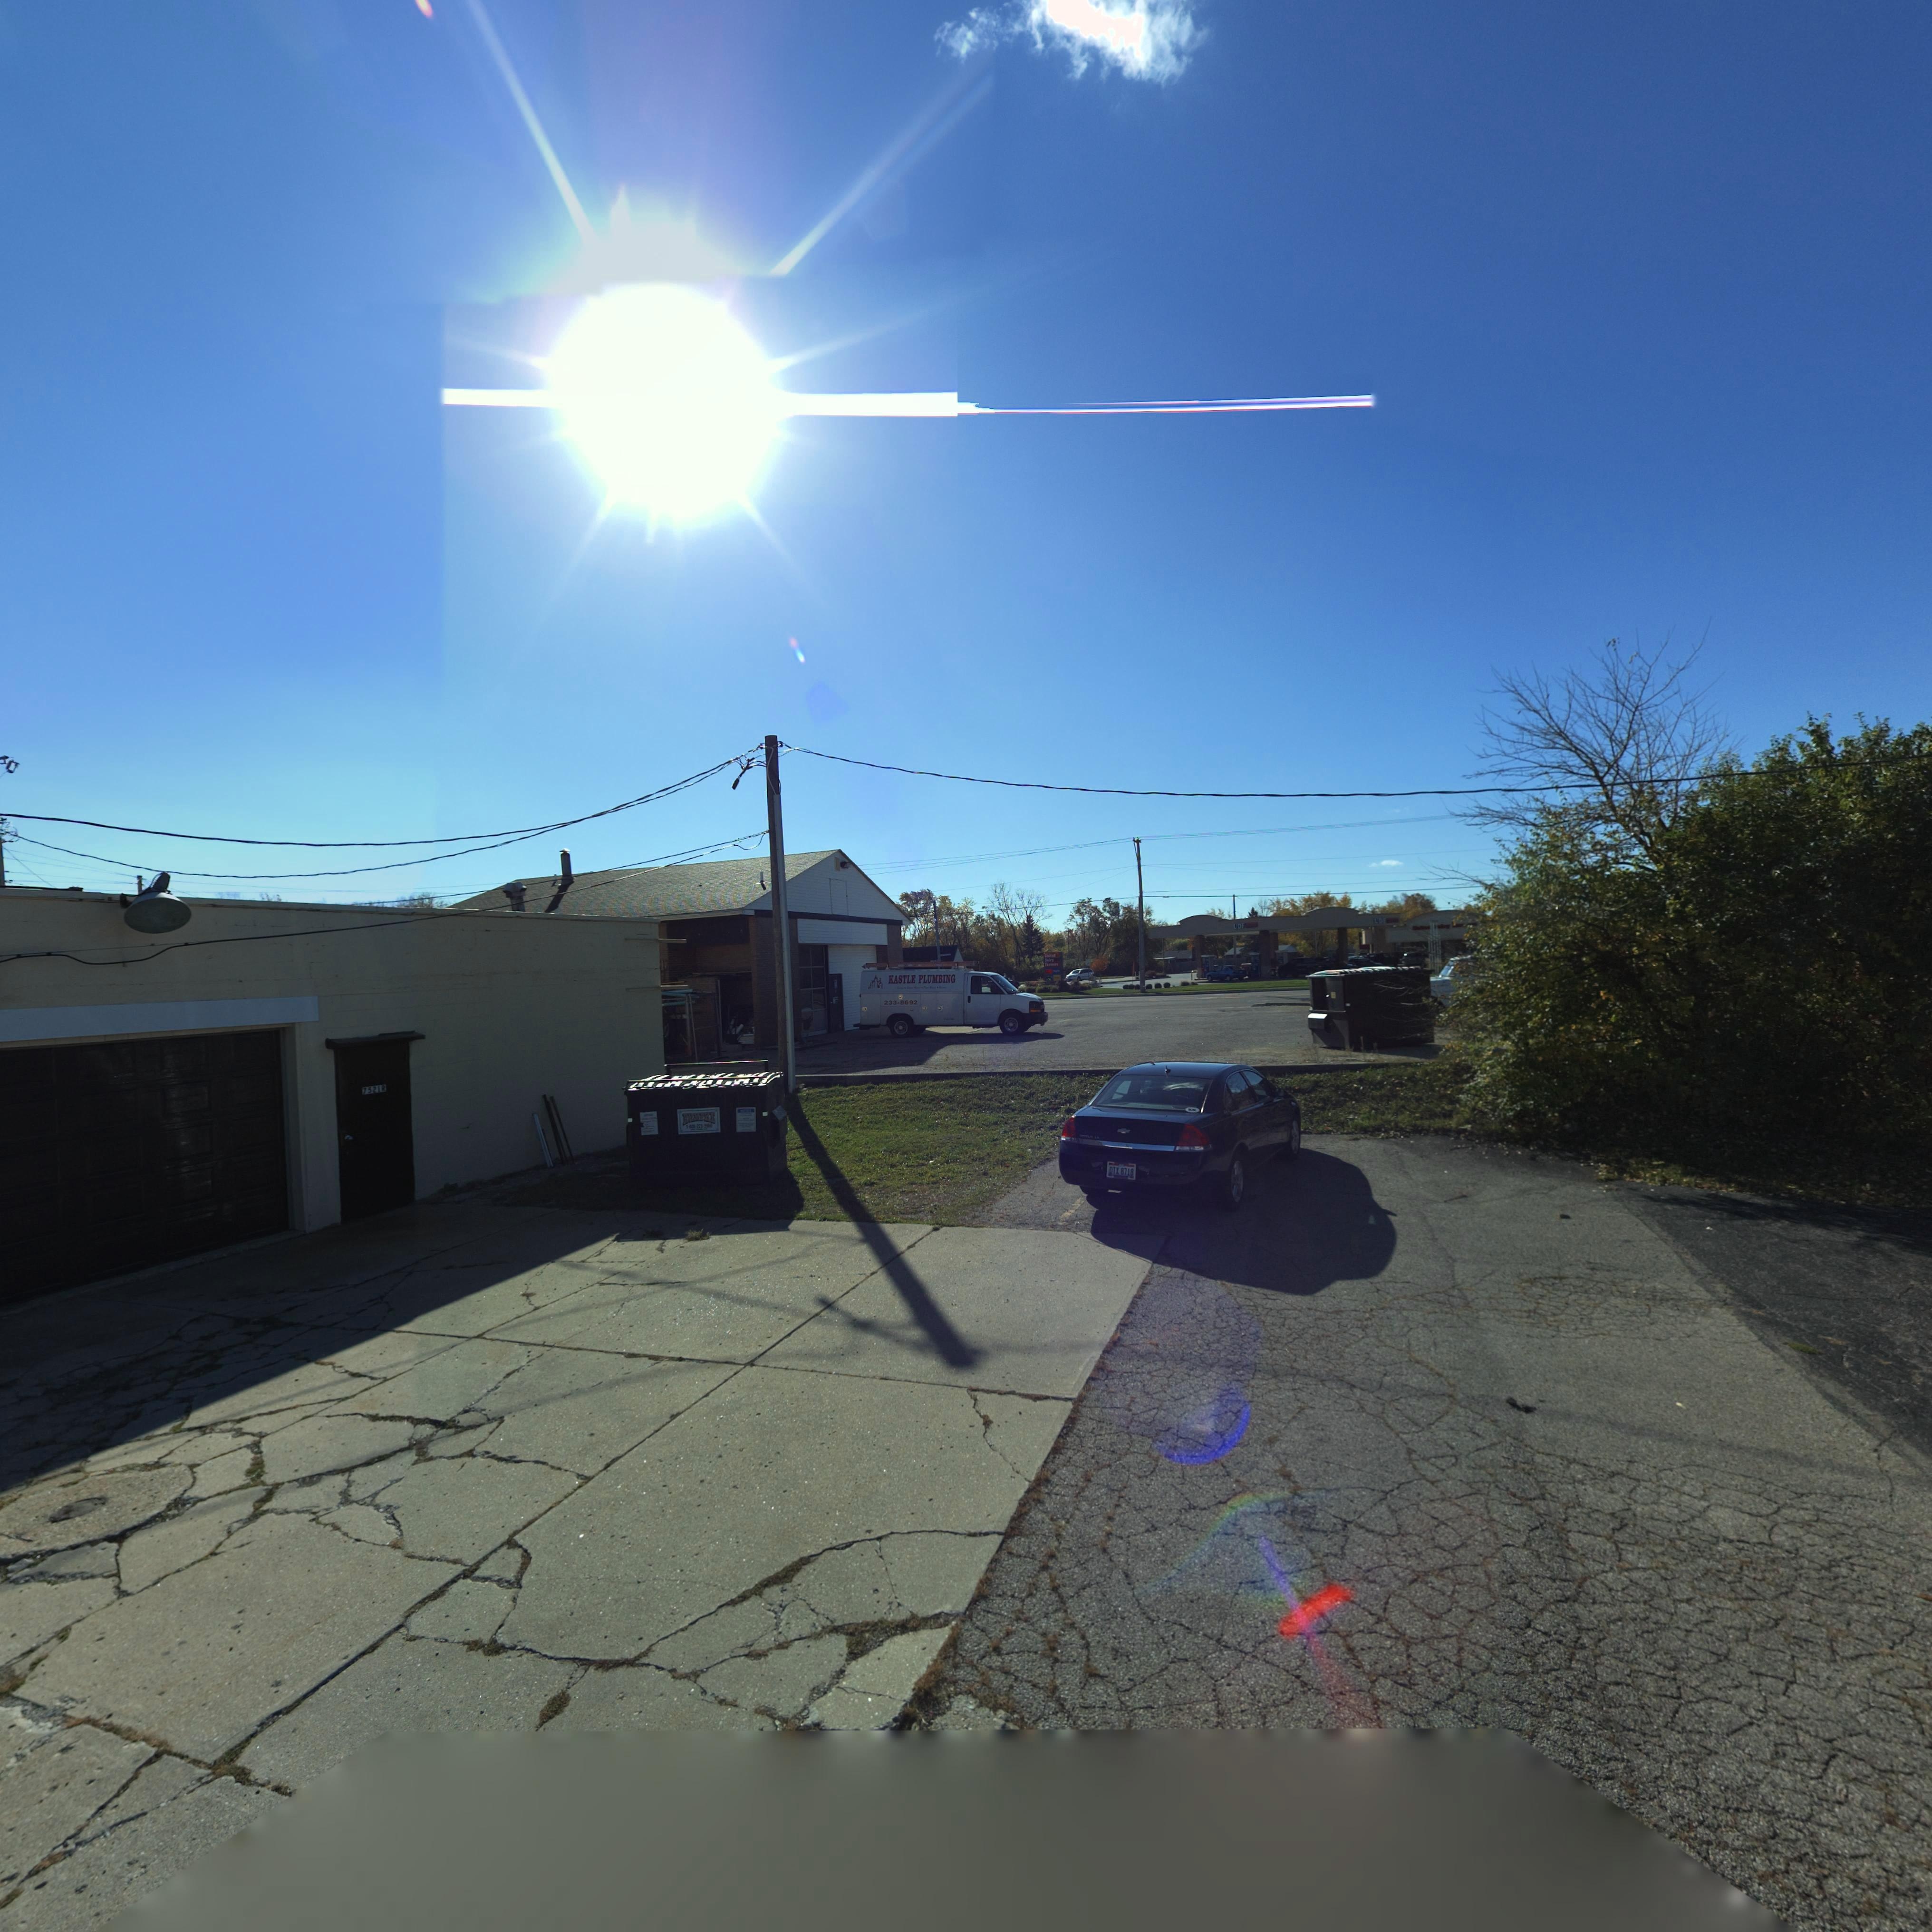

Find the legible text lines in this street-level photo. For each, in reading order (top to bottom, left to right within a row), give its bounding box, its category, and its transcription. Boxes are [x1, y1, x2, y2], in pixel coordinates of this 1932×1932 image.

[362, 1085, 381, 1095] StreetNumber: 7521